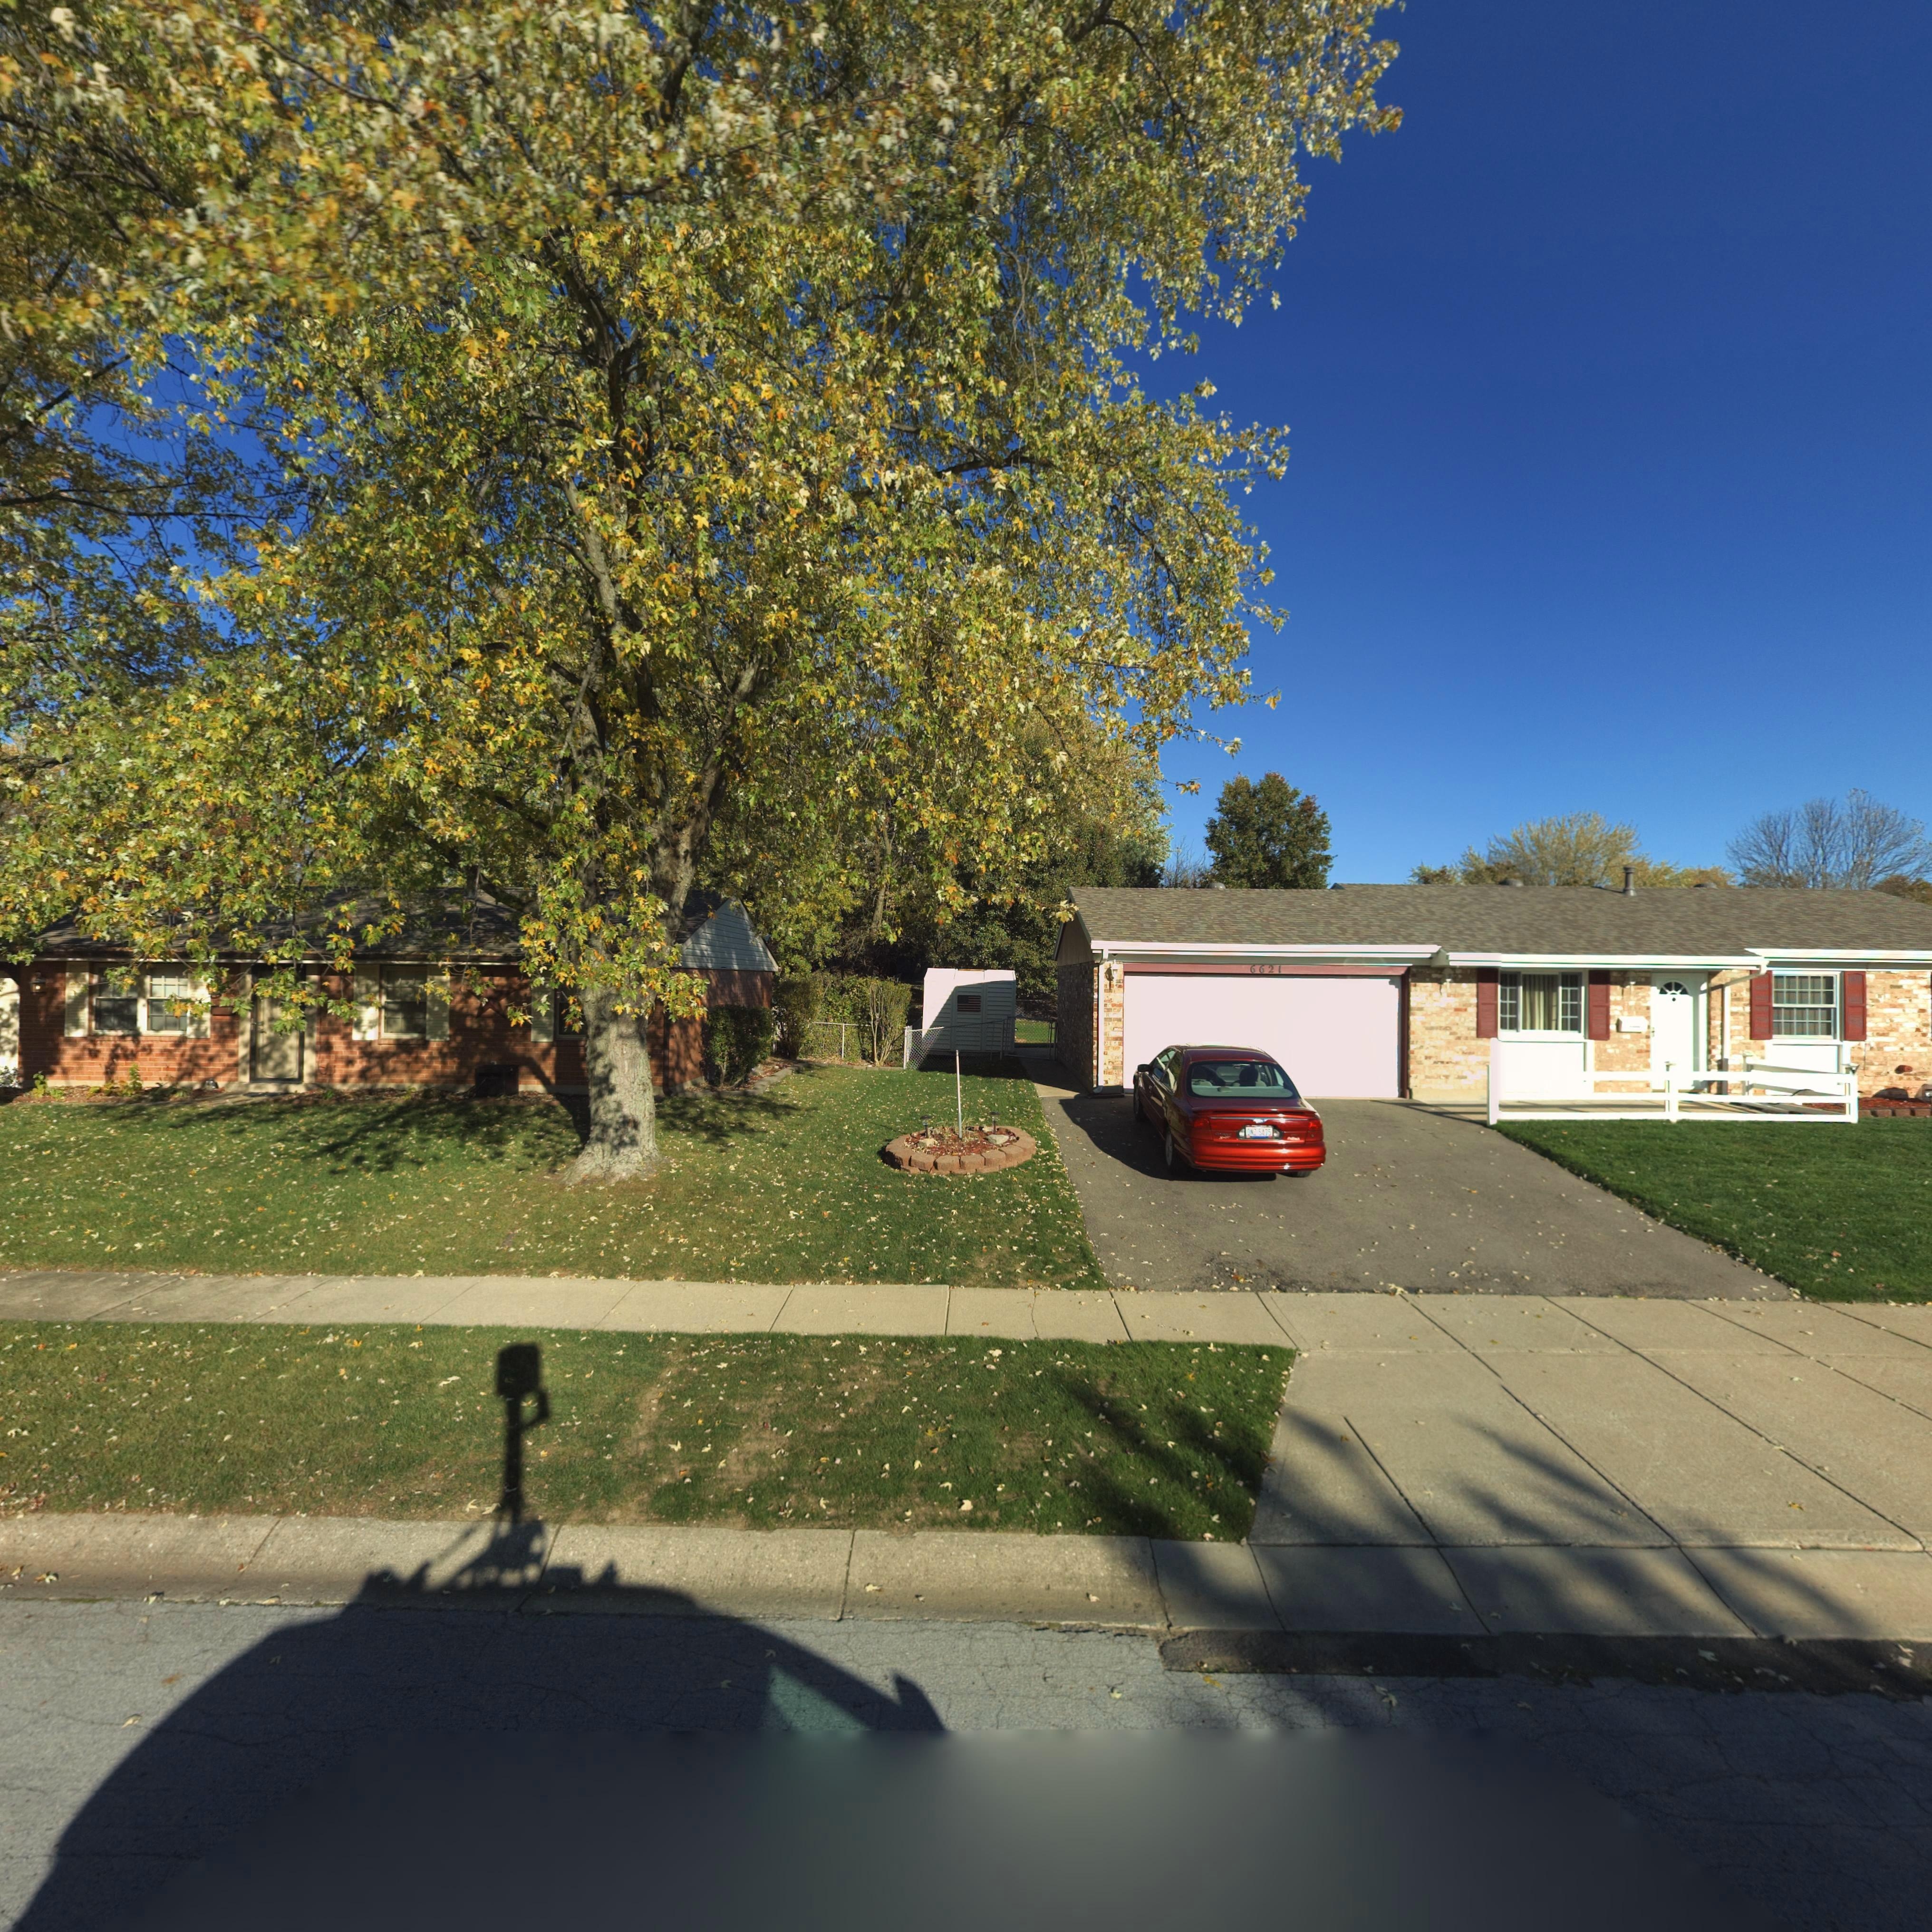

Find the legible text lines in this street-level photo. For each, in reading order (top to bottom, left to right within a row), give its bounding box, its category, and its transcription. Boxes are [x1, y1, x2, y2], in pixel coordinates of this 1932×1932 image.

[1249, 964, 1282, 974] StreetNumber: 6621